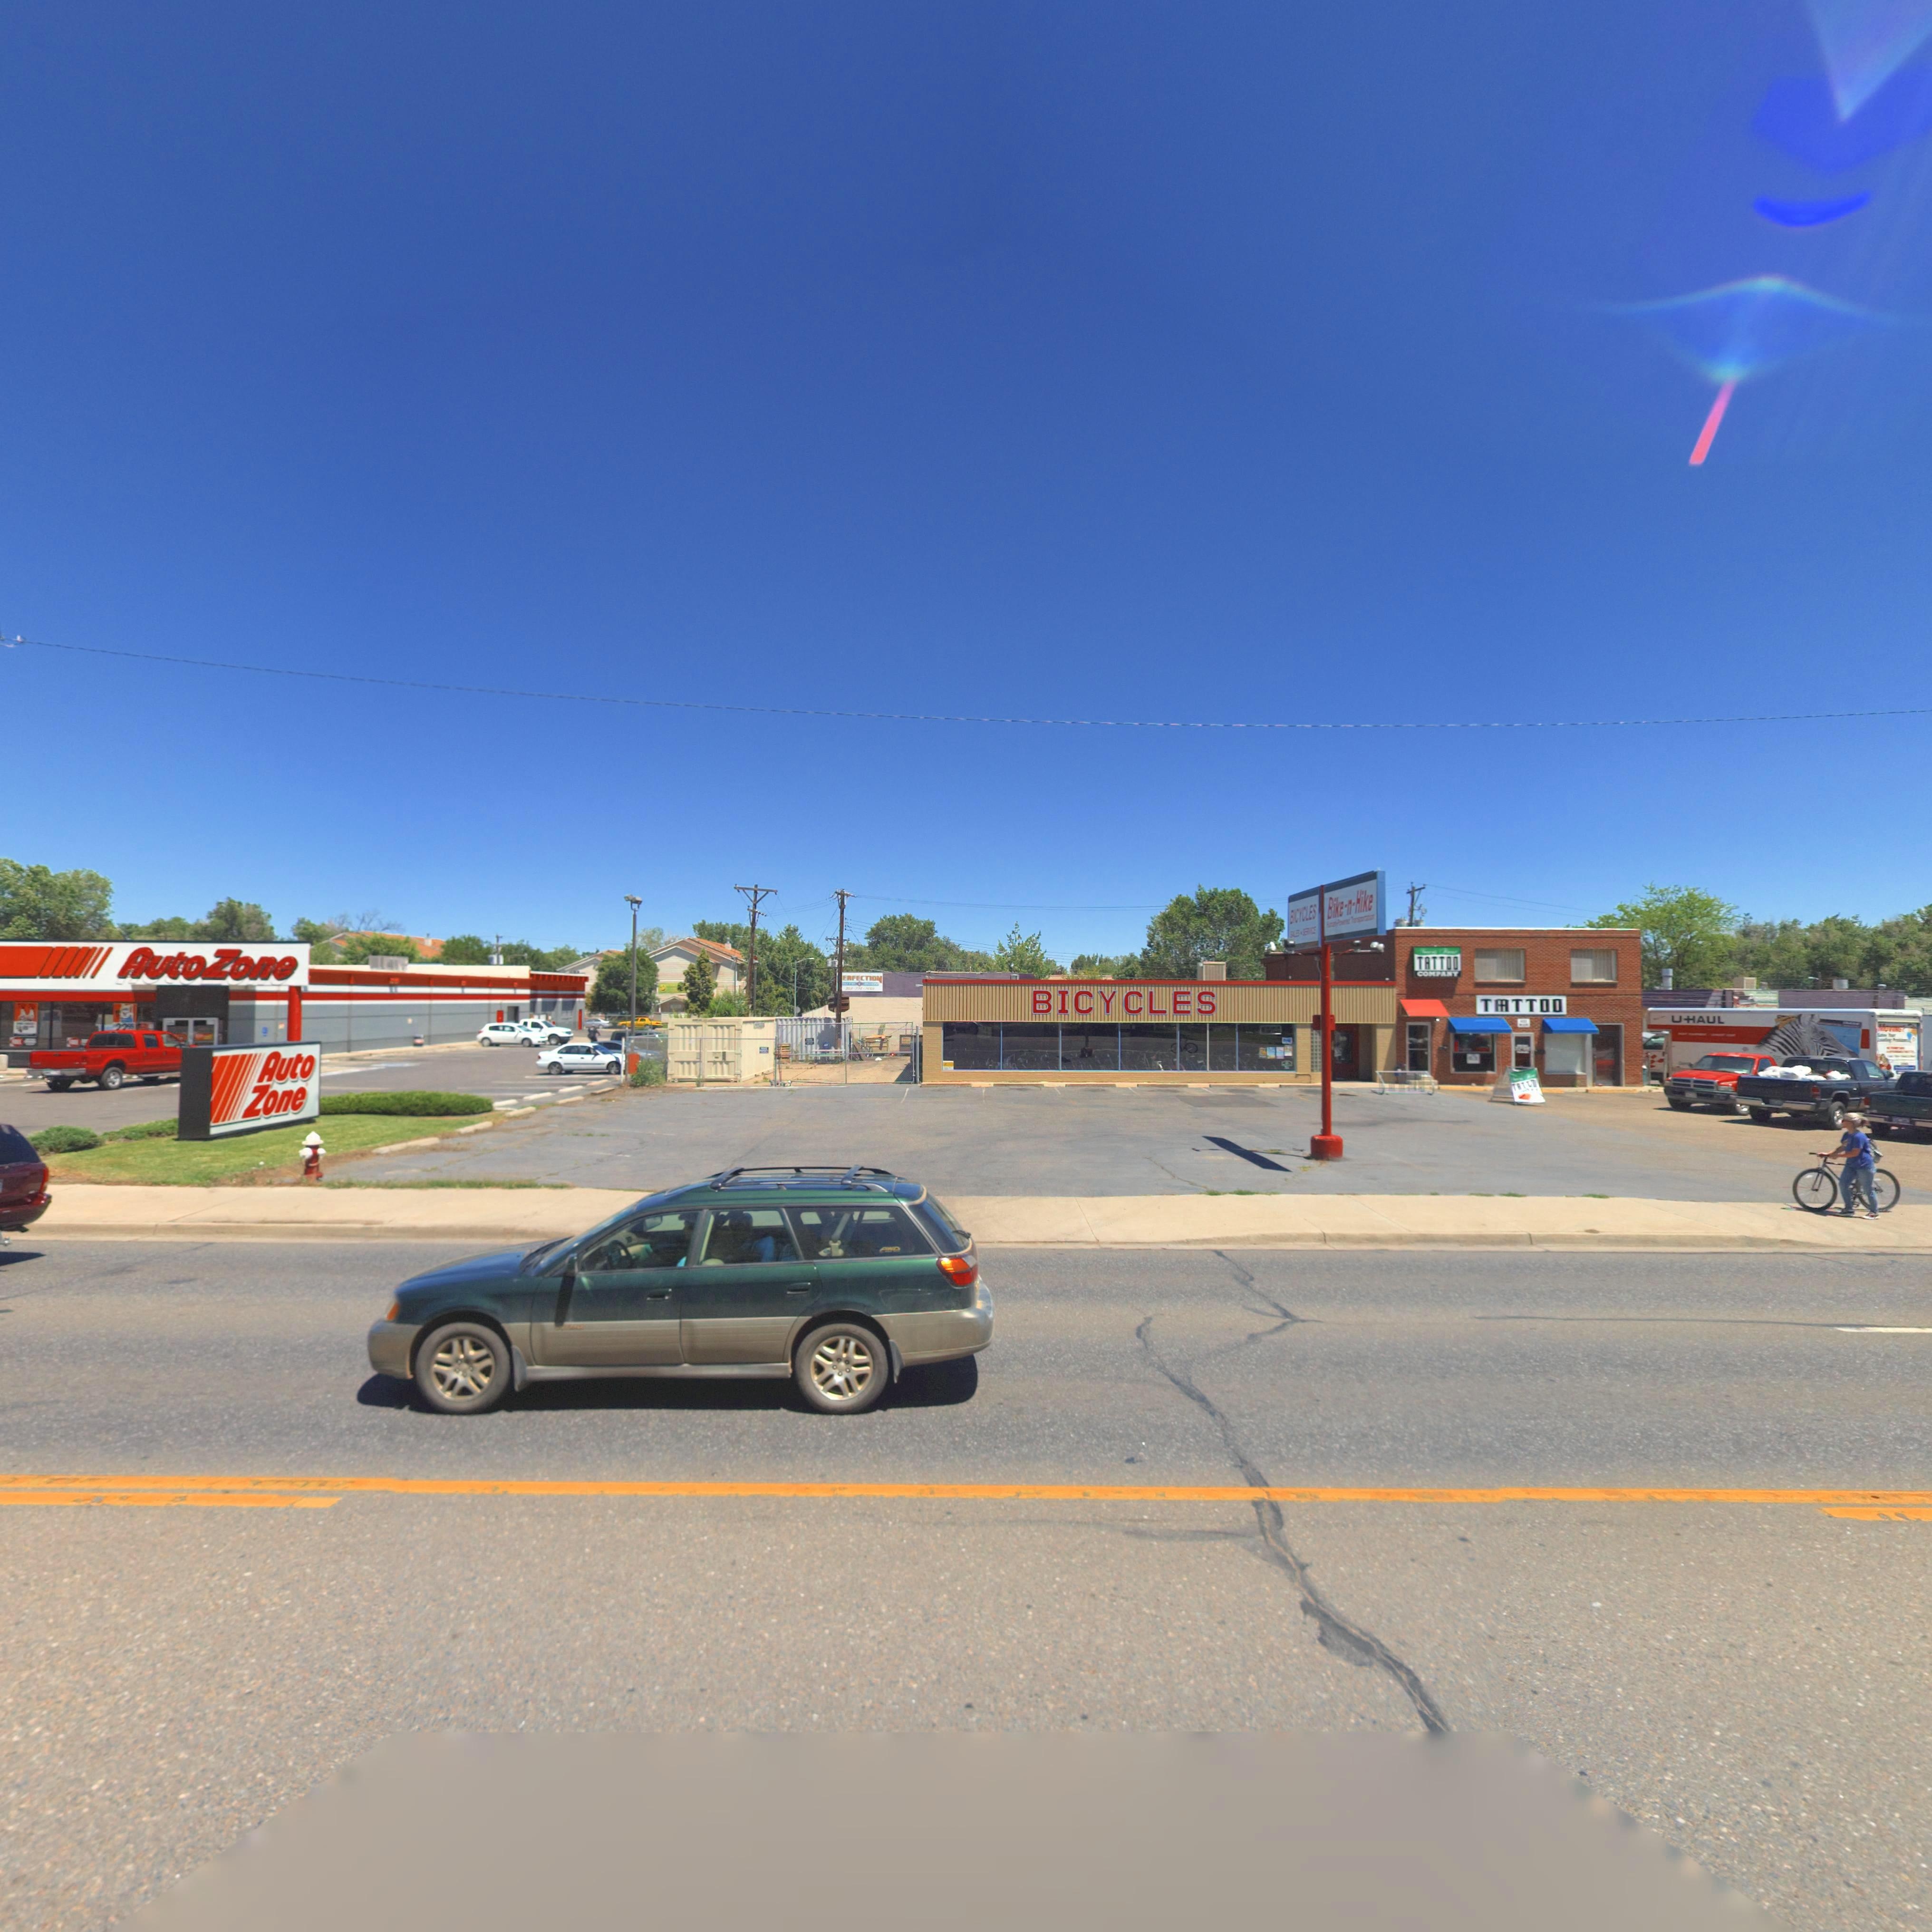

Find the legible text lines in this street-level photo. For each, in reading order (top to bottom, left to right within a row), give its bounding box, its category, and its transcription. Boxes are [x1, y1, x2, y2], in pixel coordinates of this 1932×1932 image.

[1325, 888, 1373, 921] BusinessName: Bike-n-Hike
[1325, 913, 1376, 929] BusinessName: H****-Pow**ed Tran**********
[116, 945, 299, 980] BusinessName: AutoZone
[844, 983, 856, 985] BusinessName: UTO
[864, 982, 879, 985] BusinessName: BODY
[1671, 1015, 1723, 1023] BusinessName: U+AUL
[256, 1050, 316, 1083] BusinessName: Auto
[240, 1083, 307, 1120] BusinessName: Zone